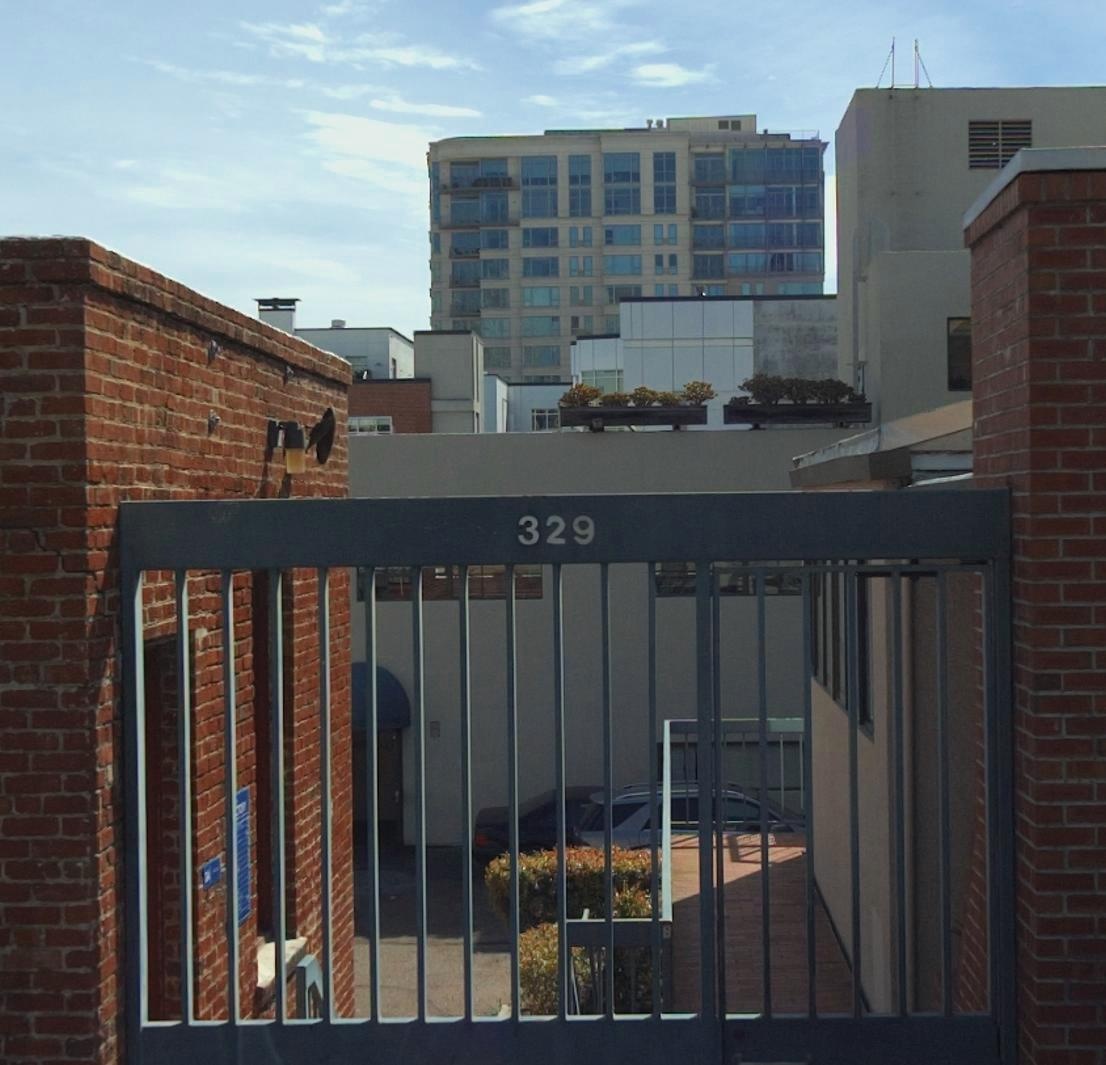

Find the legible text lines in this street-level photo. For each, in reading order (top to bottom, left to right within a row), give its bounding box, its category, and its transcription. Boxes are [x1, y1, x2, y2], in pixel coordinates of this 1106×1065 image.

[513, 512, 598, 549] StreetNumber: 329